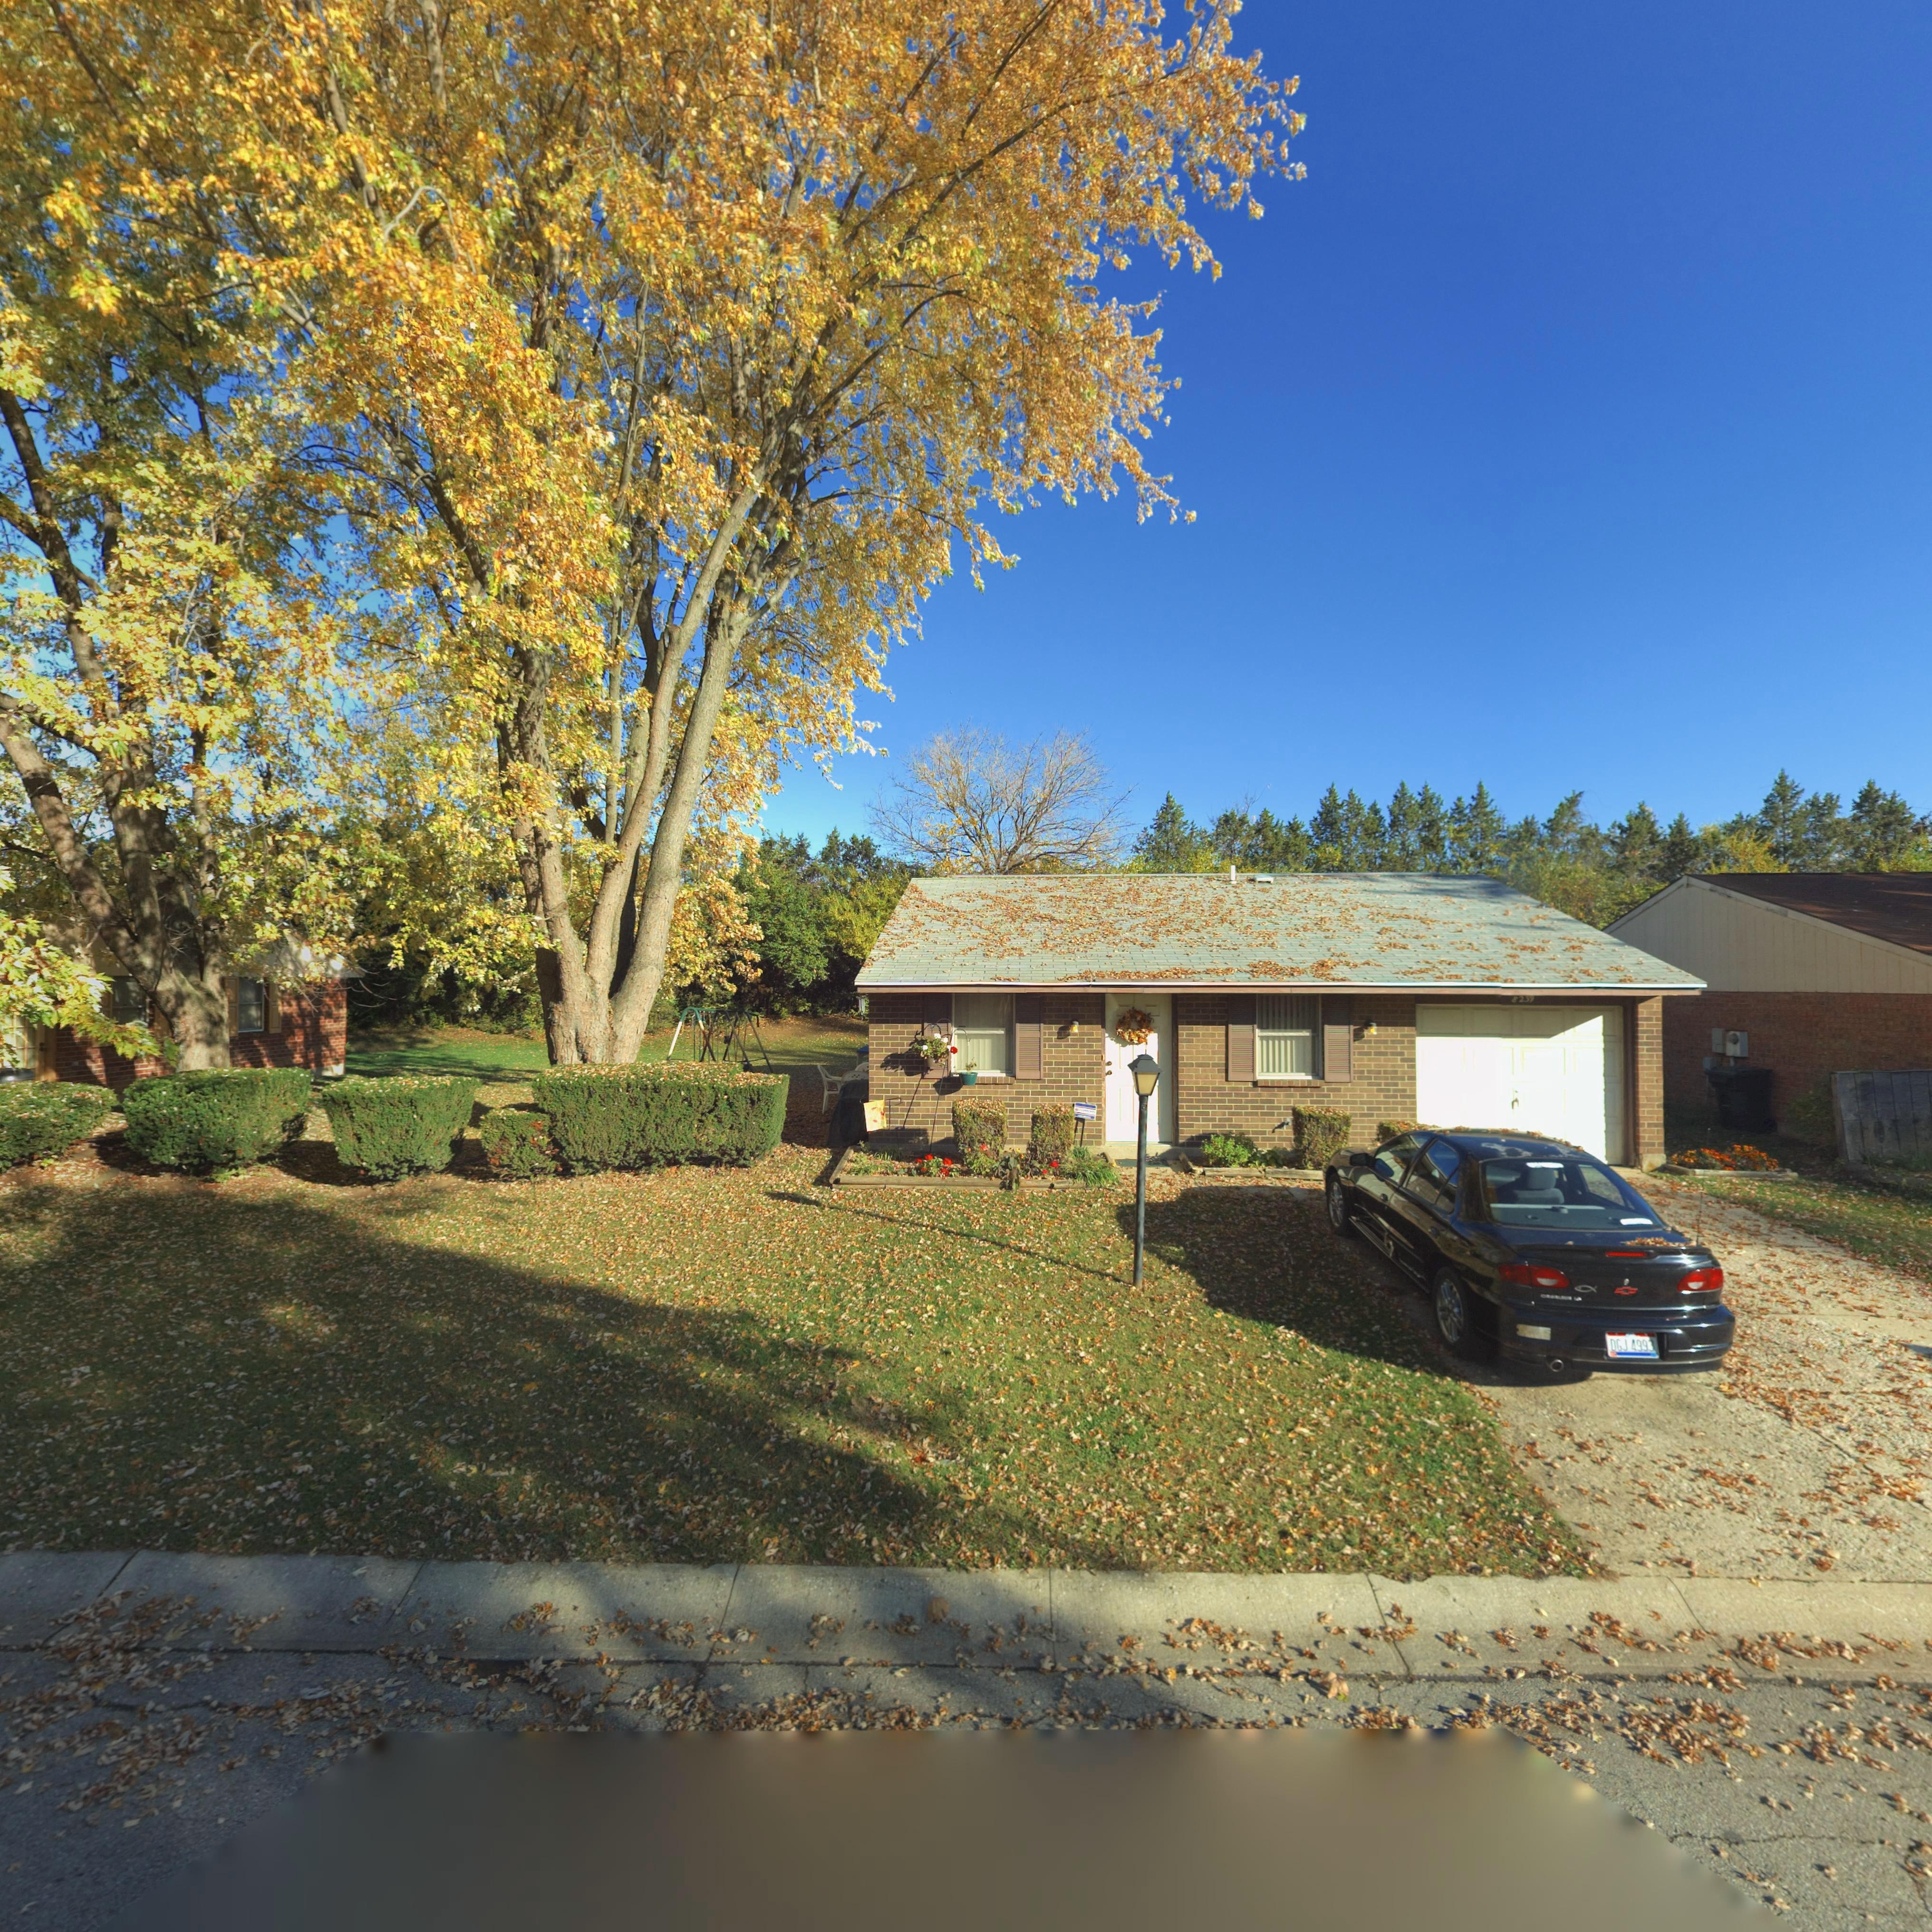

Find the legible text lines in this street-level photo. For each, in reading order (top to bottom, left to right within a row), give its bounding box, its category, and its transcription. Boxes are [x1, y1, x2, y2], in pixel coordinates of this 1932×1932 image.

[1510, 995, 1536, 1003] StreetNumber: 8239